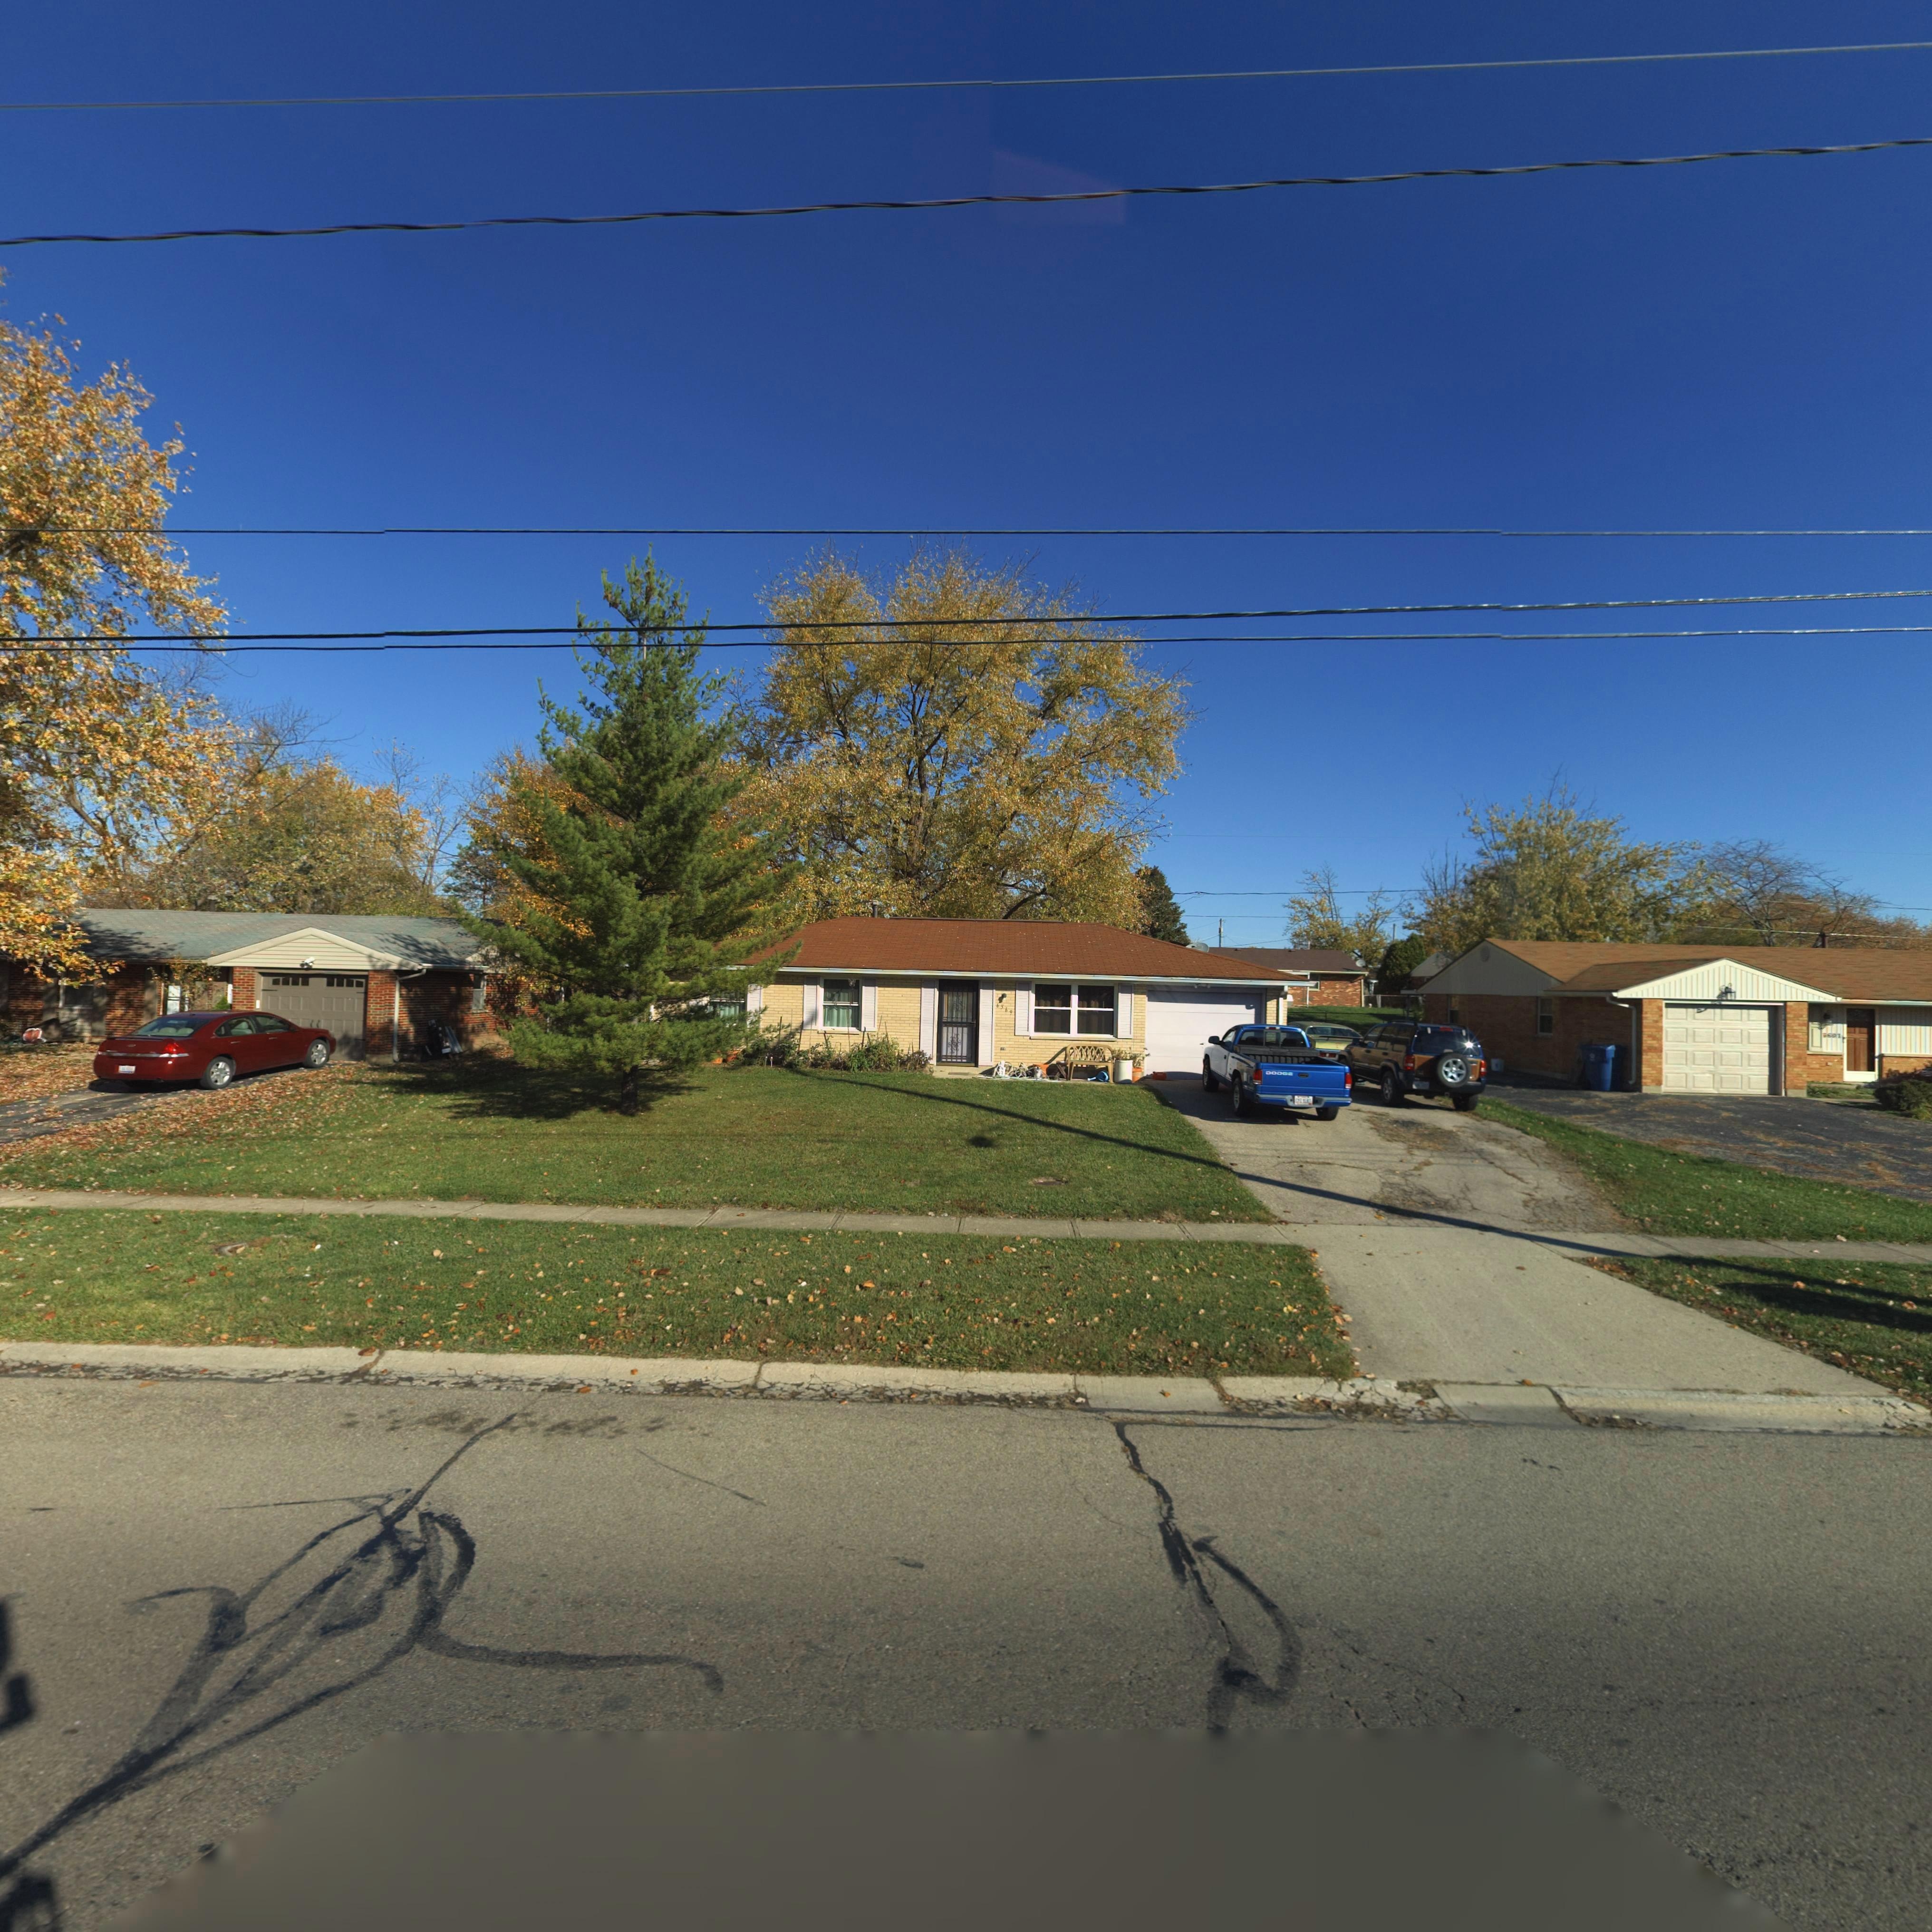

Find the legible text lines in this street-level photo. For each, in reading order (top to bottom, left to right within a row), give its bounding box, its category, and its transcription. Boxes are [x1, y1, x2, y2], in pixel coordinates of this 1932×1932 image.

[995, 1002, 1014, 1016] StreetNumber: 6569